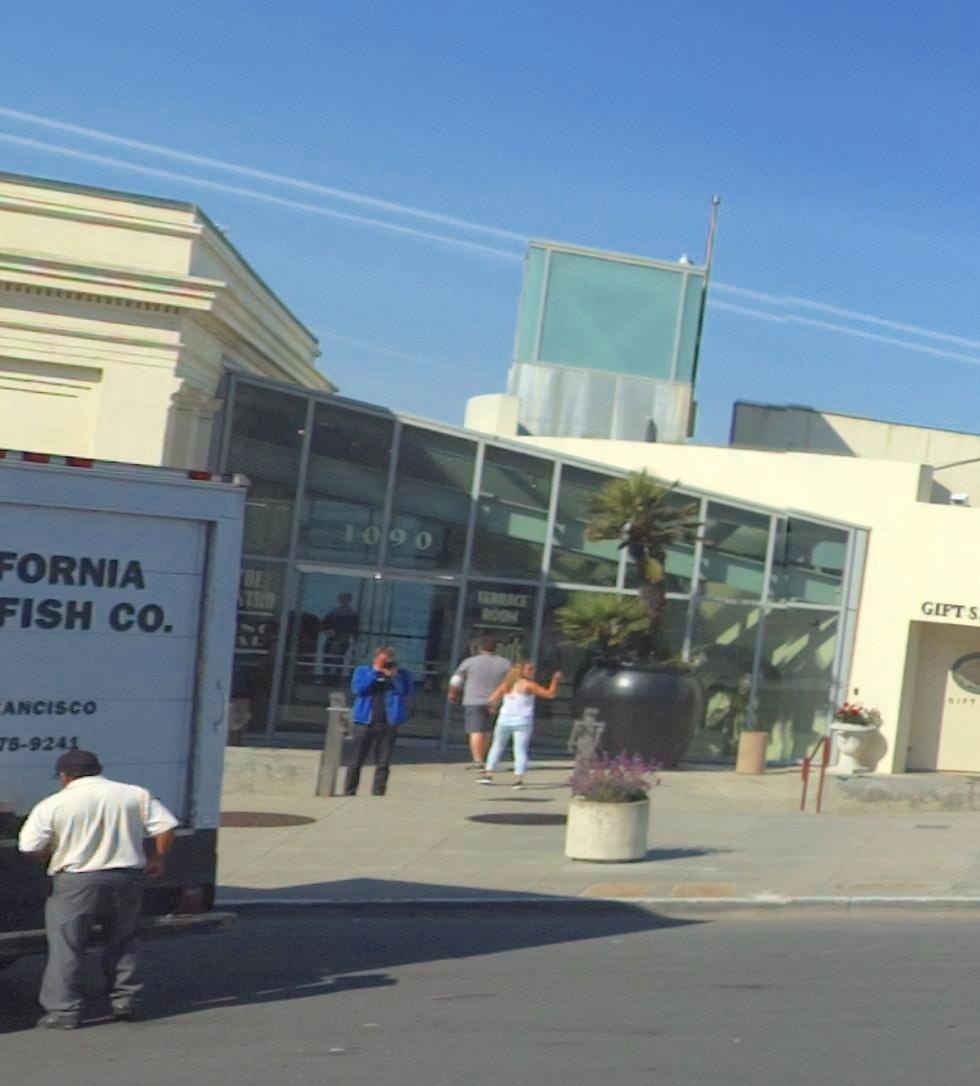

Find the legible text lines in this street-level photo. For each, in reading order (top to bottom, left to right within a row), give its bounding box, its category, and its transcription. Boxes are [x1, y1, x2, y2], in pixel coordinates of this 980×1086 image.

[341, 519, 434, 554] StreetNumber: 1090
[14, 552, 147, 591] None: ORNIA
[0, 595, 175, 635] None: FISH CO.
[480, 604, 520, 624] BusinessName: ROOM
[477, 589, 528, 609] BusinessName: *ERRACE
[920, 598, 979, 620] None: GIFT S
[2, 700, 98, 717] None: ANCISCO
[946, 695, 977, 707] None: GIFT
[5, 734, 80, 752] None: 5-9241